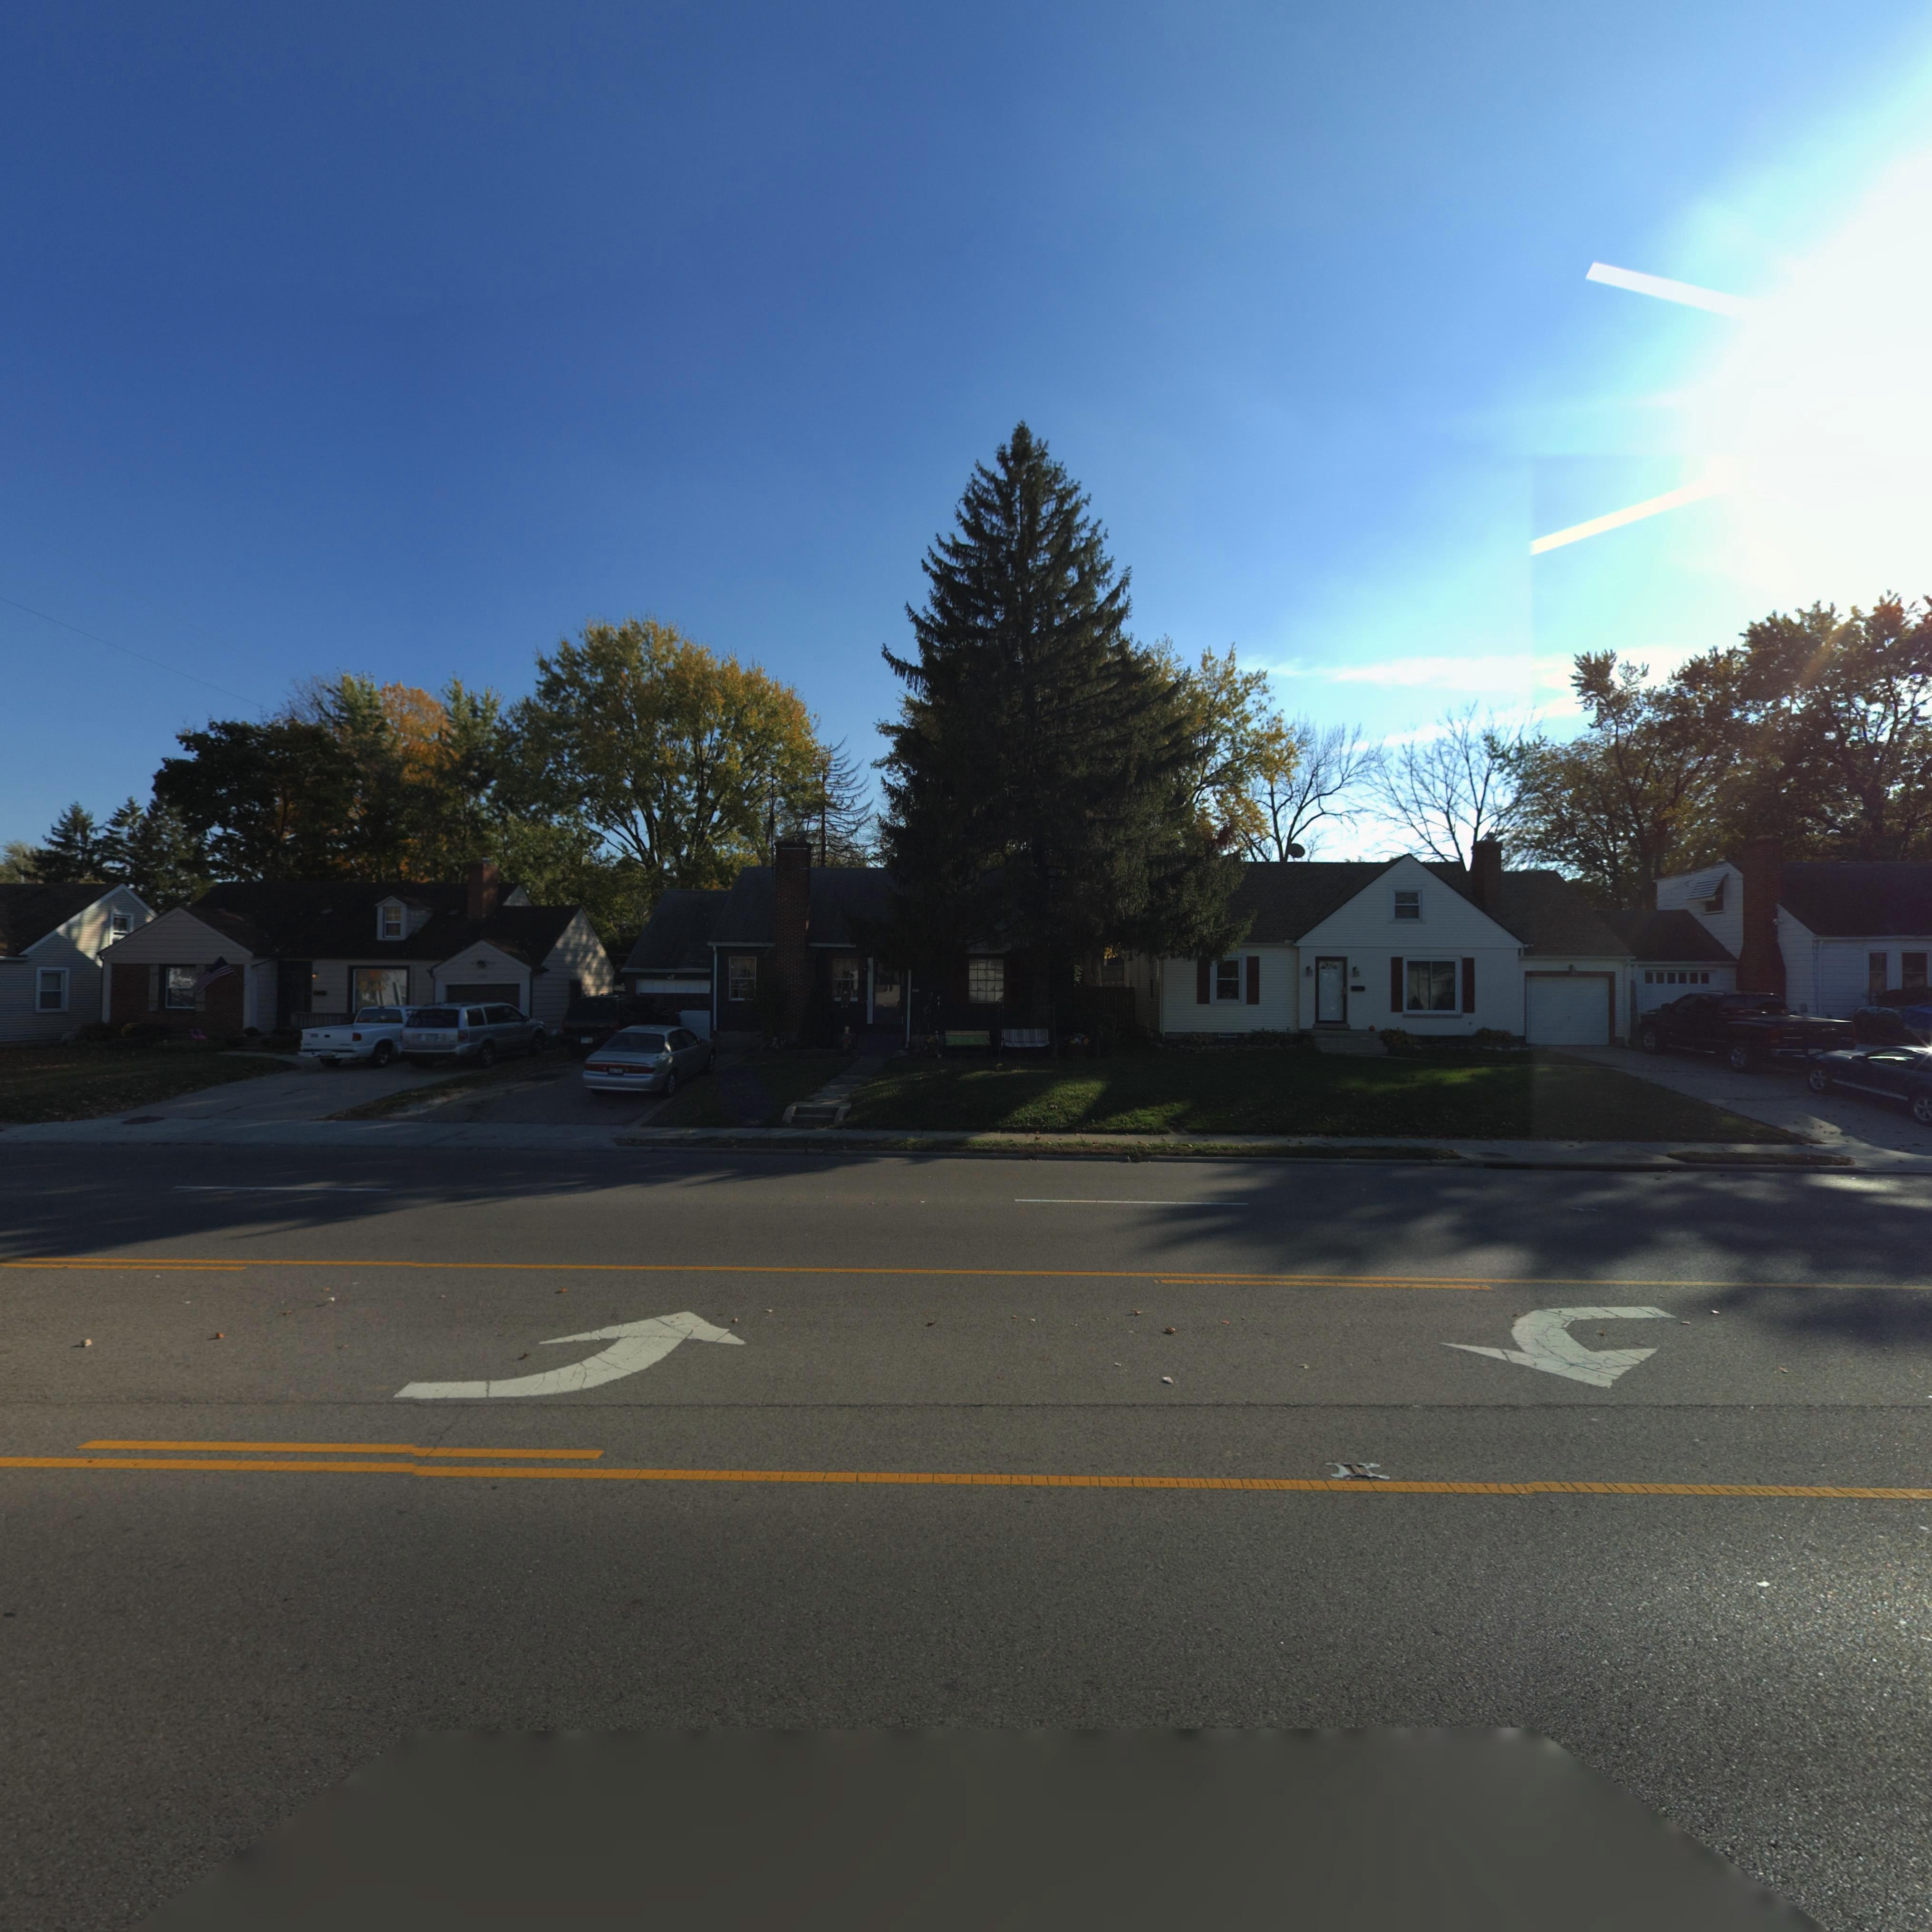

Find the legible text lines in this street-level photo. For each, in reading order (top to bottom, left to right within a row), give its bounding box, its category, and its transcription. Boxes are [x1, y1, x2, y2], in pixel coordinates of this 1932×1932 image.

[912, 988, 919, 992] StreetNumber: 42*